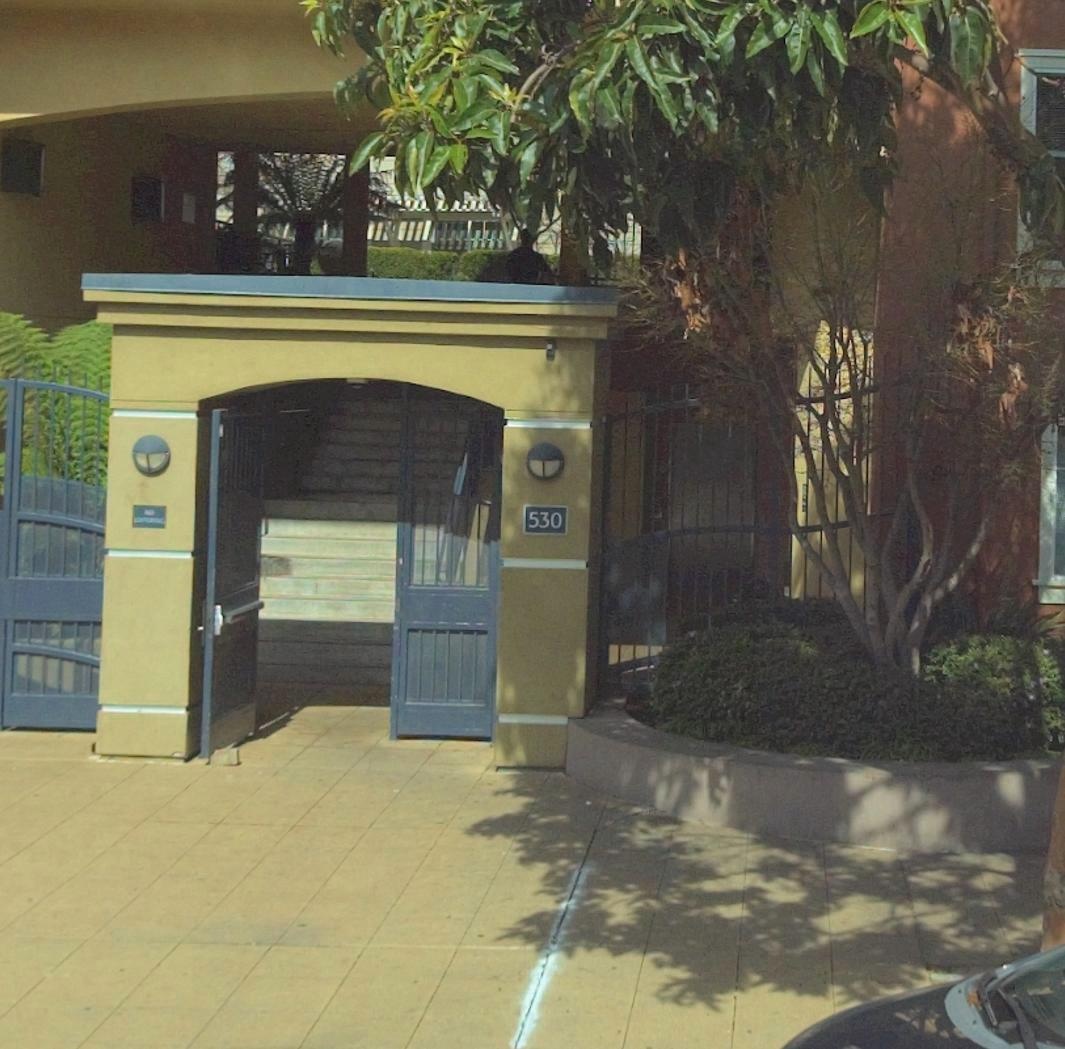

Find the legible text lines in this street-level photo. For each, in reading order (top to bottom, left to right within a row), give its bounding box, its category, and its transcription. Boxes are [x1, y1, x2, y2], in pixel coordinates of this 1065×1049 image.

[527, 510, 566, 531] StreetNumber: 530